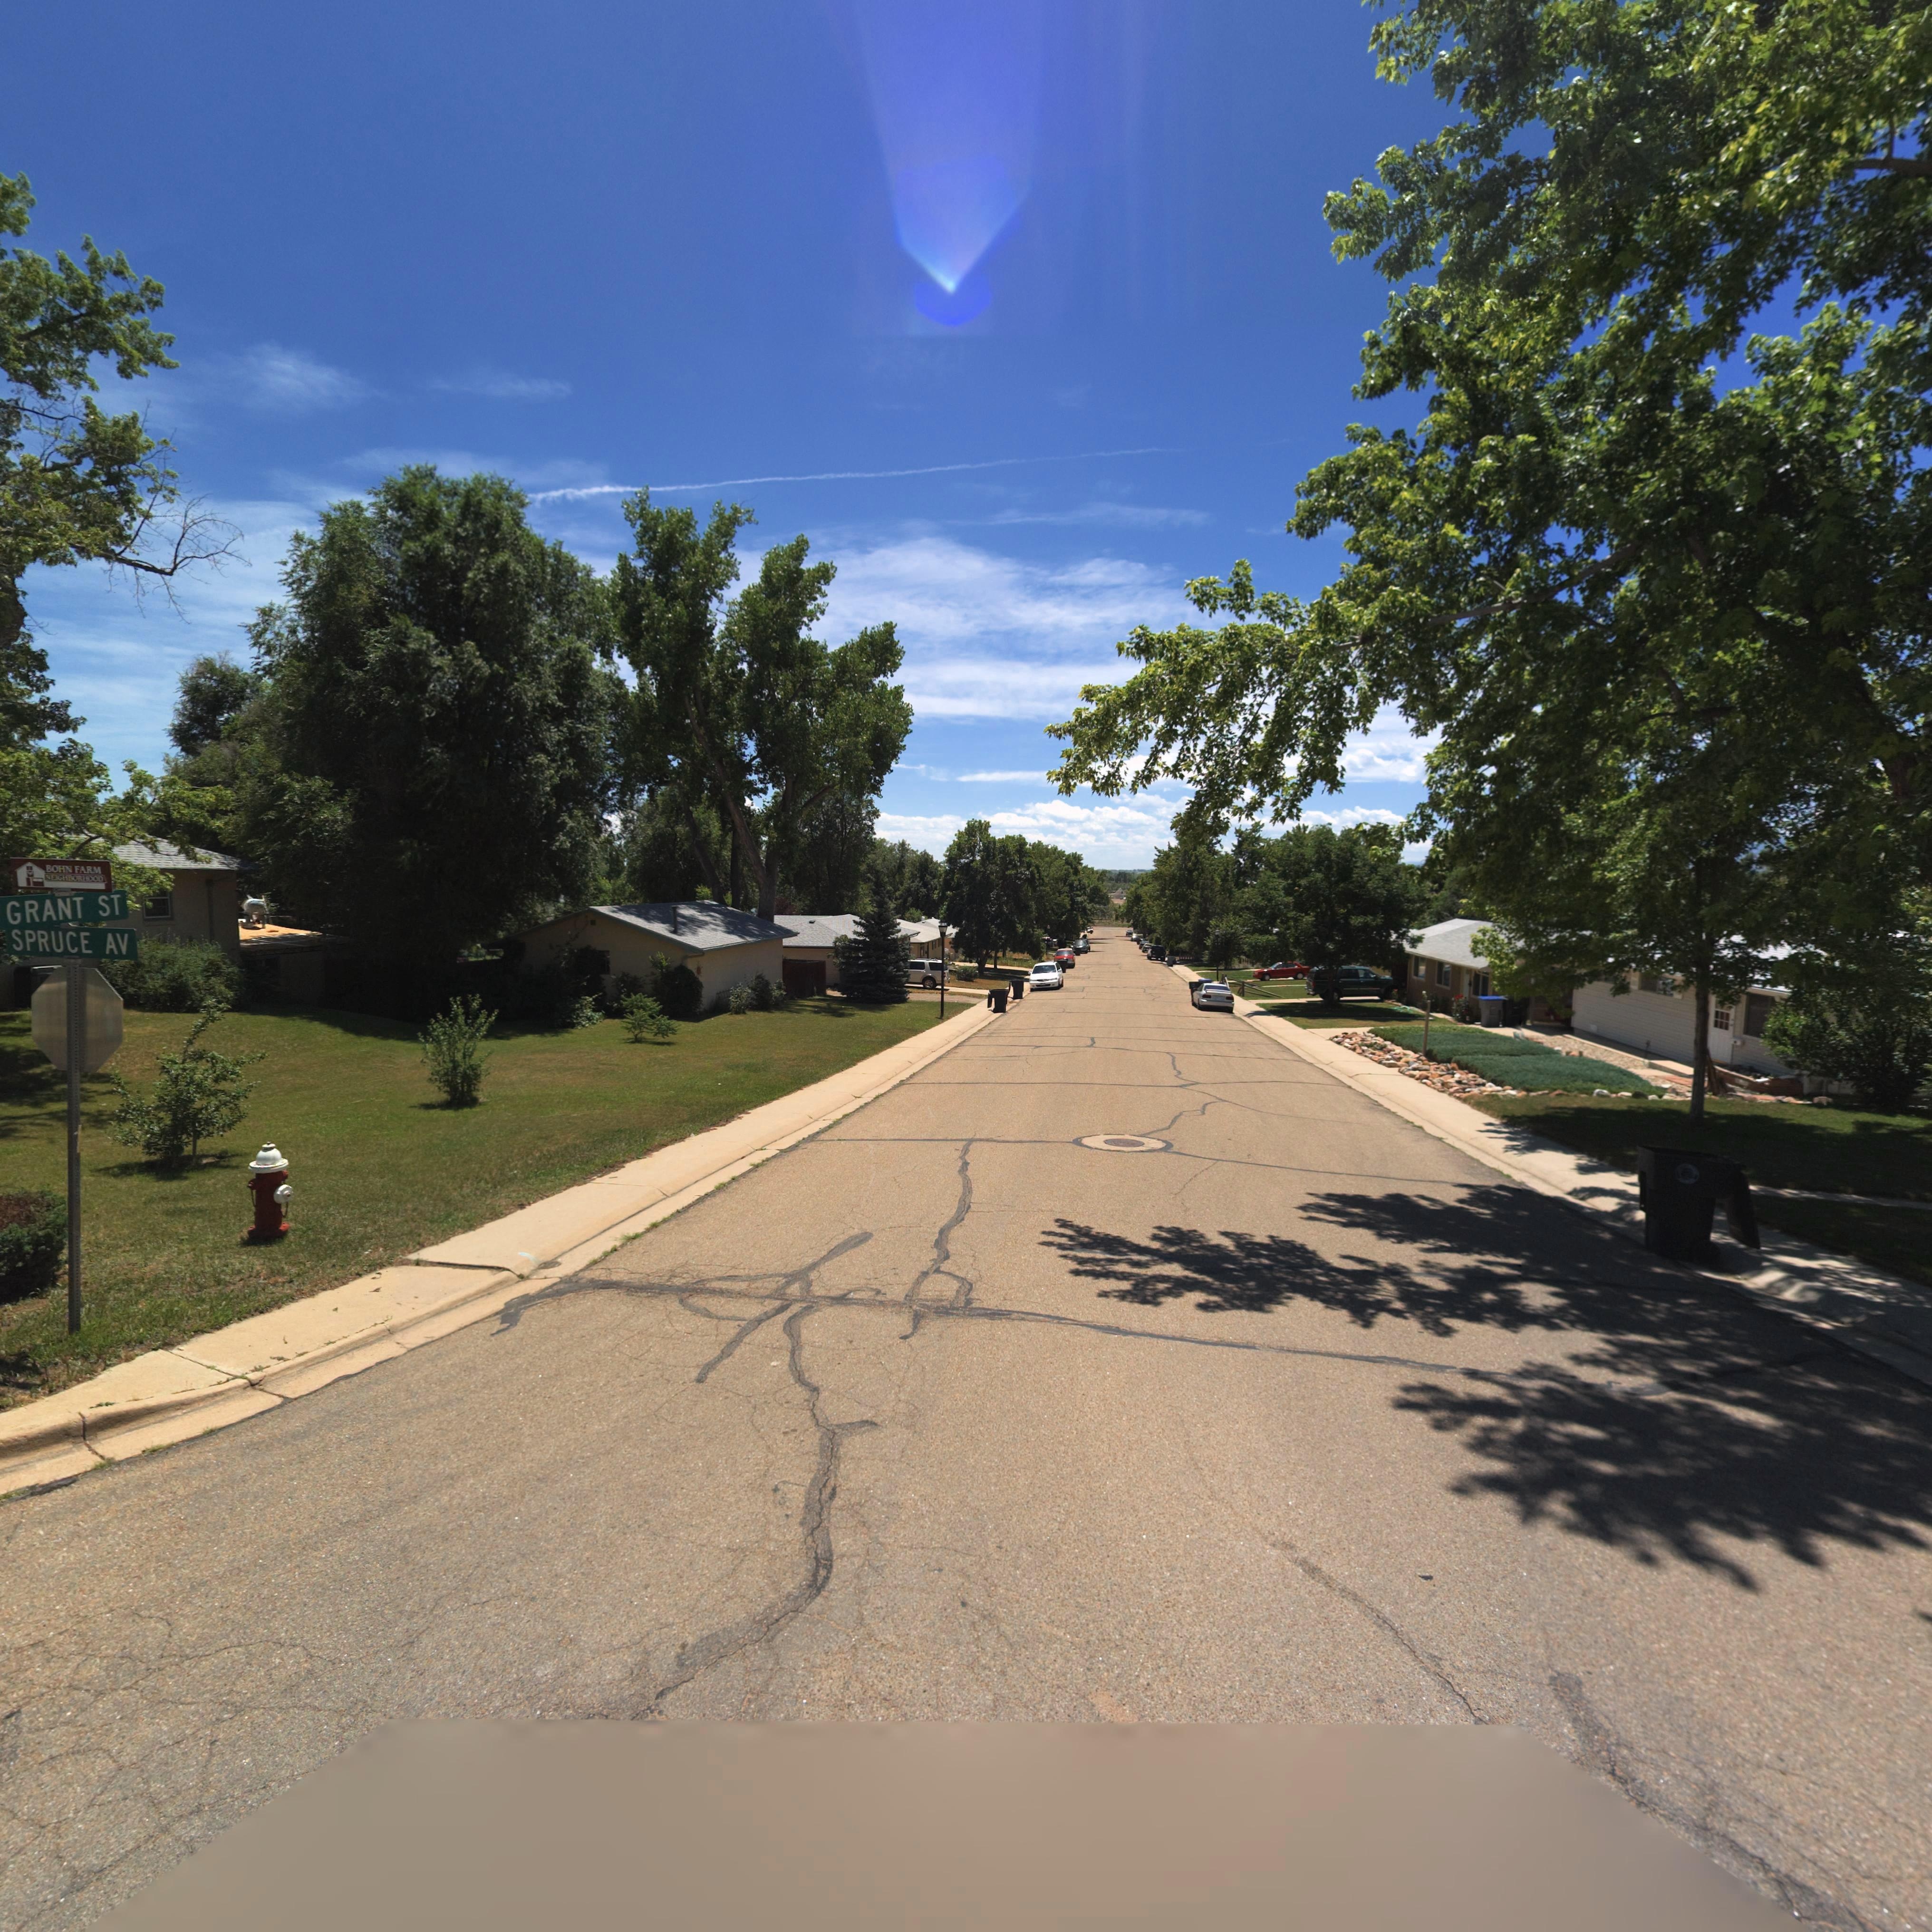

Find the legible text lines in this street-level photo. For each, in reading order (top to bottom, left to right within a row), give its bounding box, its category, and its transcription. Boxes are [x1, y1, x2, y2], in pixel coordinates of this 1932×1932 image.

[5, 894, 120, 925] StreetName: GRANT ST
[11, 928, 128, 955] StreetName: SPRUCE AV